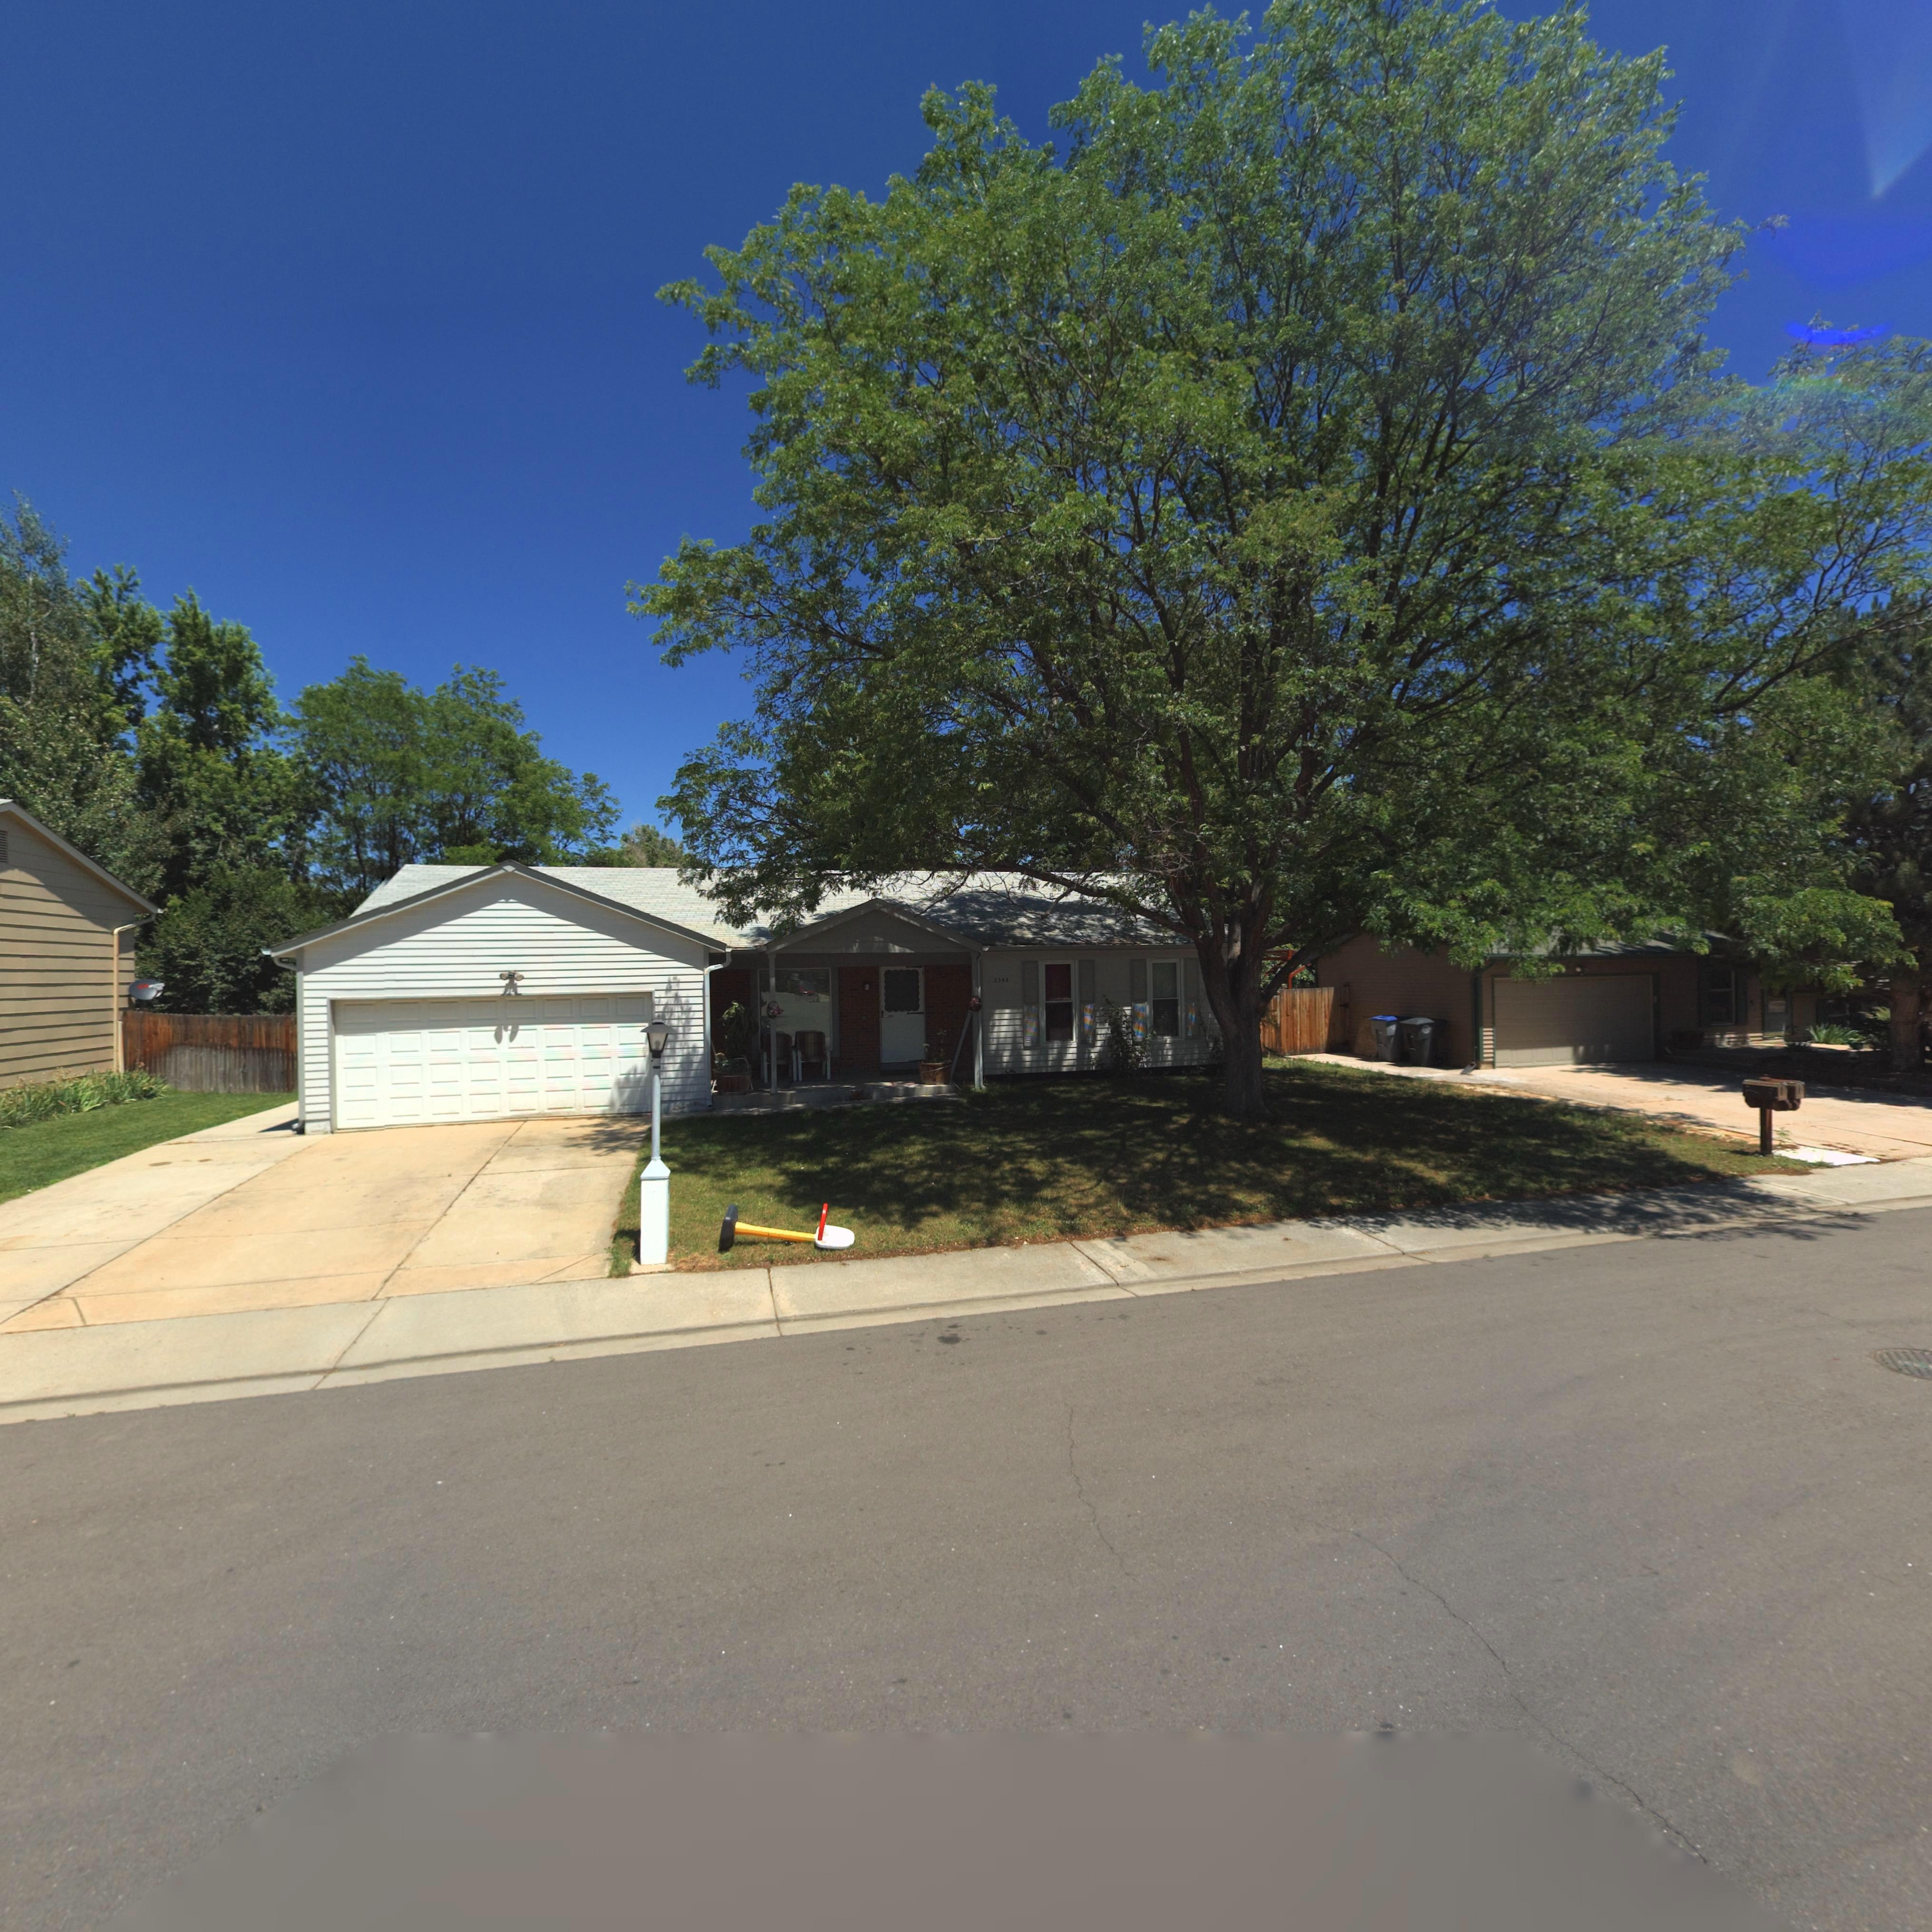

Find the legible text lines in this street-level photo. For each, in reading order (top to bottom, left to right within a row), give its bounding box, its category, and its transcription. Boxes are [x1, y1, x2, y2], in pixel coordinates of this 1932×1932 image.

[994, 977, 1009, 983] StreetNumber: 2342